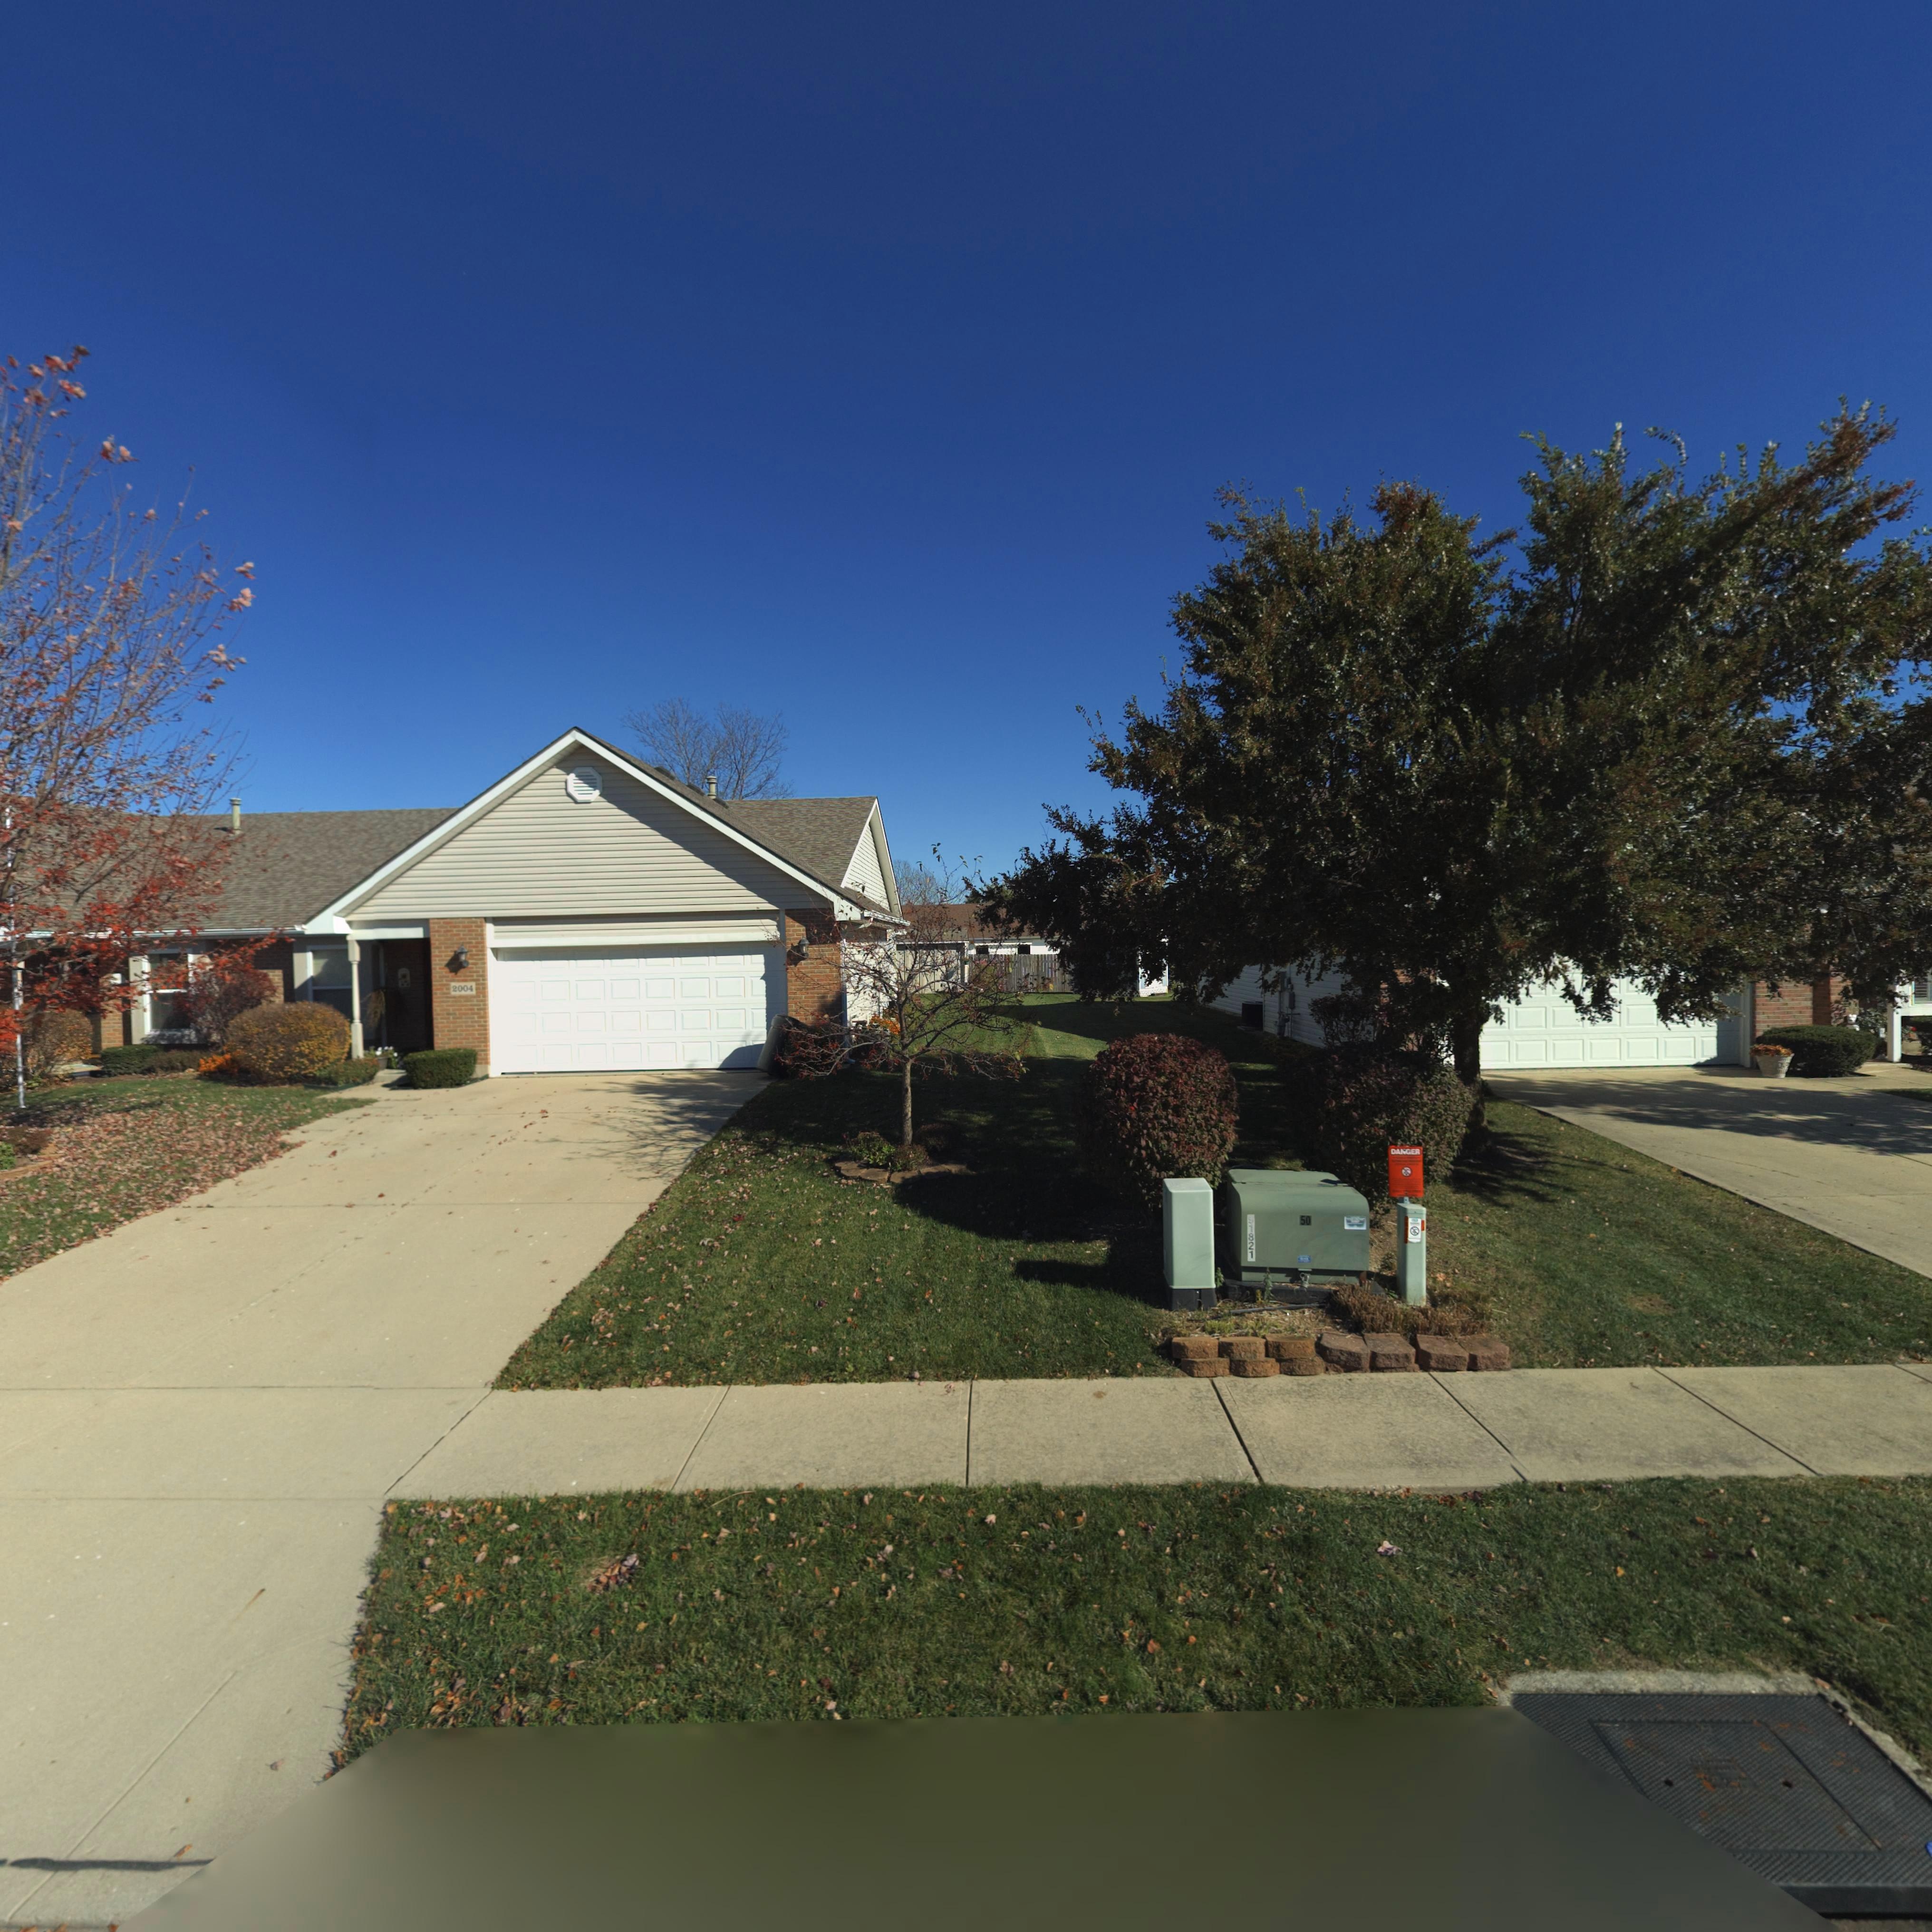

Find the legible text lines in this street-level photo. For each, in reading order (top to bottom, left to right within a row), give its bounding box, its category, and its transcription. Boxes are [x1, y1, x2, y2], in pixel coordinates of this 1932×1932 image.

[451, 984, 475, 993] StreetNumber: 2004